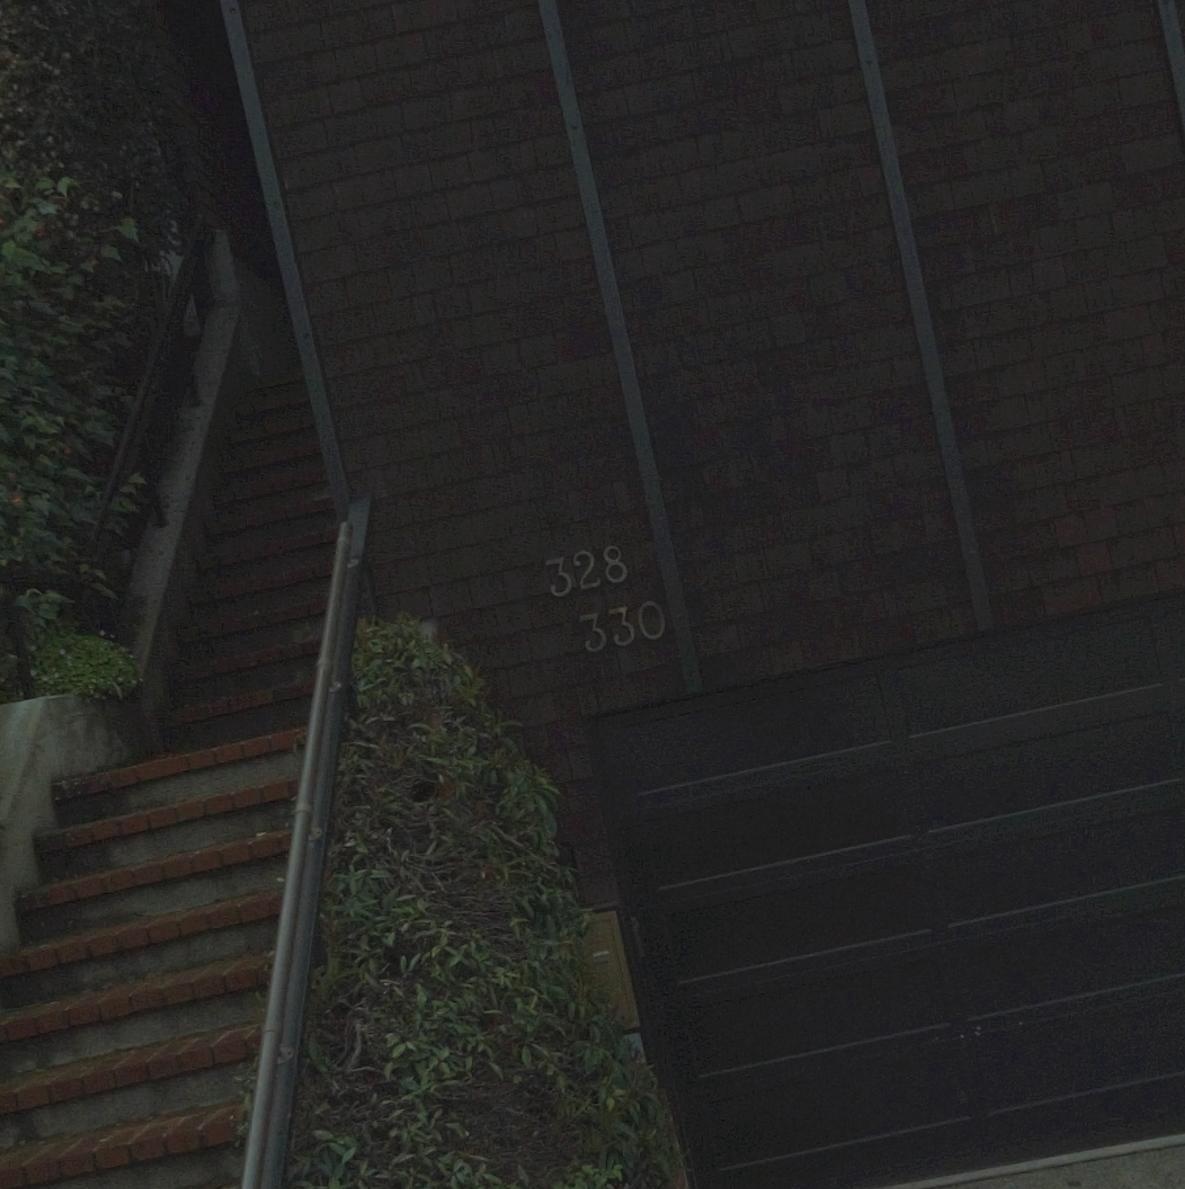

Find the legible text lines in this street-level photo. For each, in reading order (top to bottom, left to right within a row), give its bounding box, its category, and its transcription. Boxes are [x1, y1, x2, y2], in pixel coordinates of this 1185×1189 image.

[543, 541, 634, 600] StreetNumber: 328
[576, 595, 670, 656] StreetNumber: 330